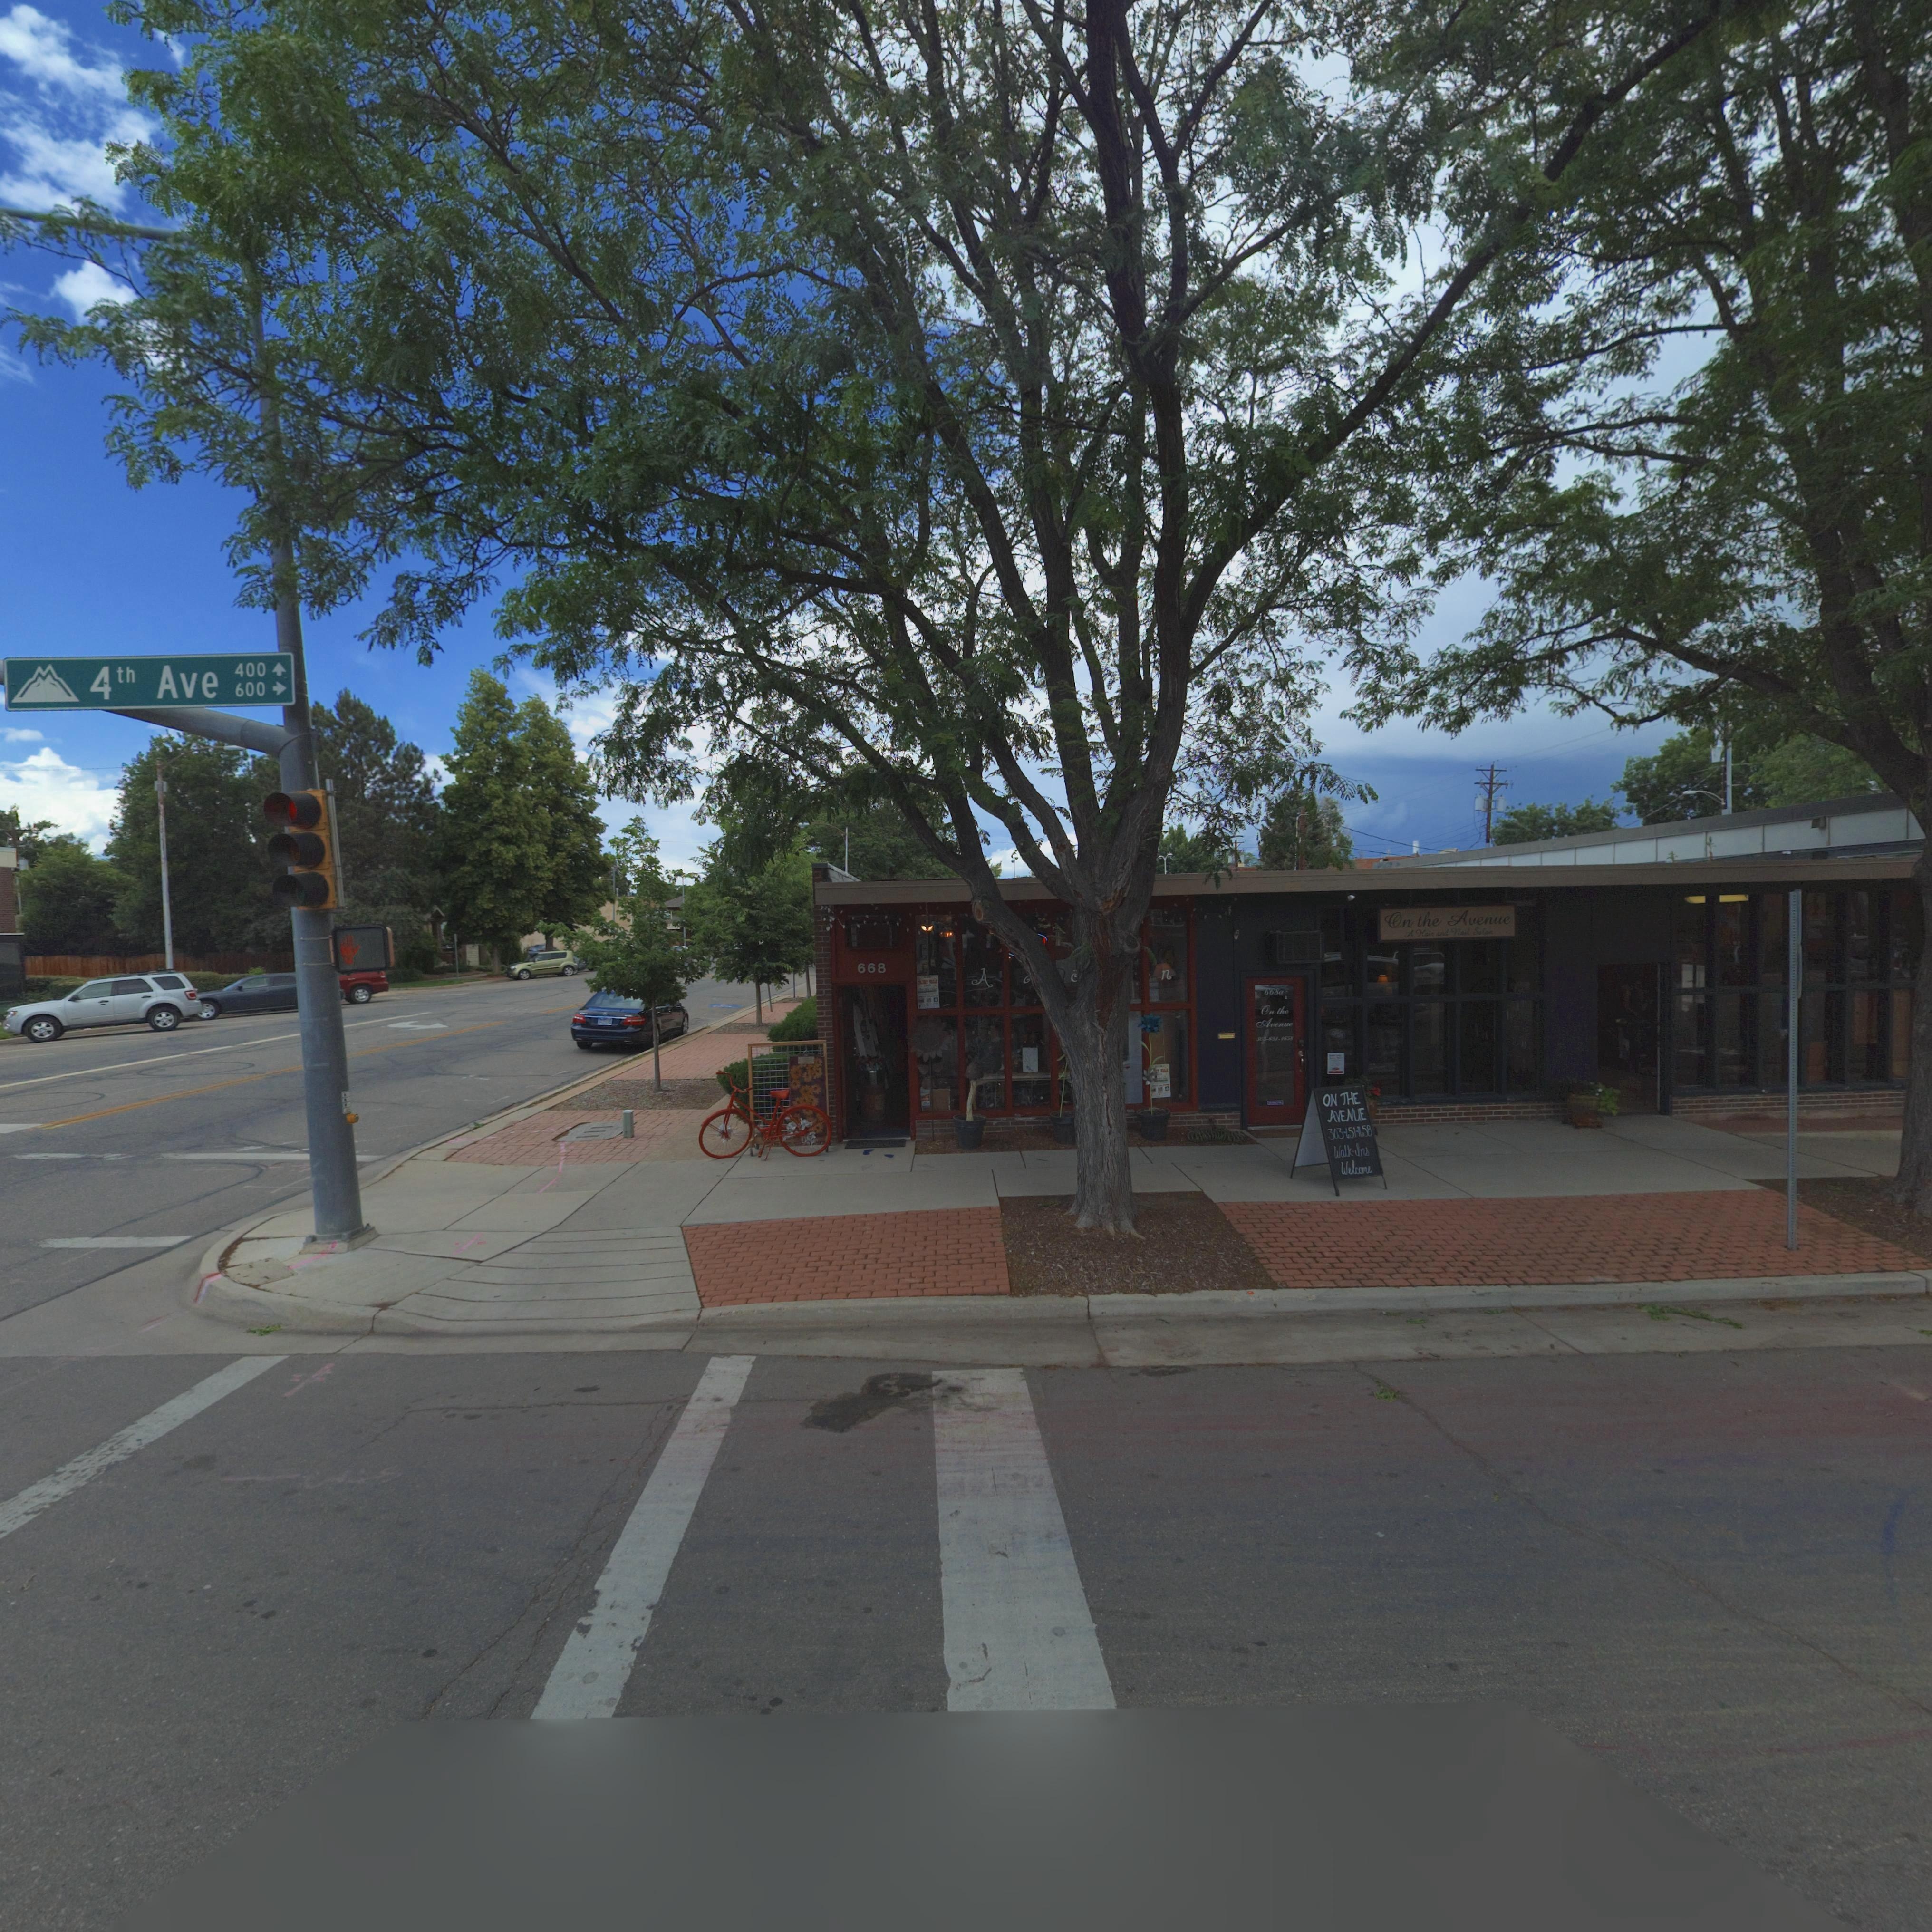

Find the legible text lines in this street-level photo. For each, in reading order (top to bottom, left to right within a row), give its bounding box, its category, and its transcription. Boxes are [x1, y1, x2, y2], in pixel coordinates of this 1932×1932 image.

[234, 662, 265, 677] StreetNumber: 400
[89, 665, 219, 699] StreetName: 4th Ave
[235, 681, 287, 697] StreetNumberRange: 600 ->
[1384, 909, 1511, 927] BusinessName: On the Avenue
[857, 963, 887, 973] StreetNumber: 668
[1264, 988, 1280, 995] StreetNumber: 668
[1278, 990, 1284, 995] StreetNumber: a
[1259, 1005, 1289, 1014] BusinessName: On the
[1255, 1017, 1293, 1028] BusinessName: Avenue
[1323, 1092, 1361, 1107] BusinessName: ON THE
[1327, 1107, 1367, 1122] BusinessName: AVENUE